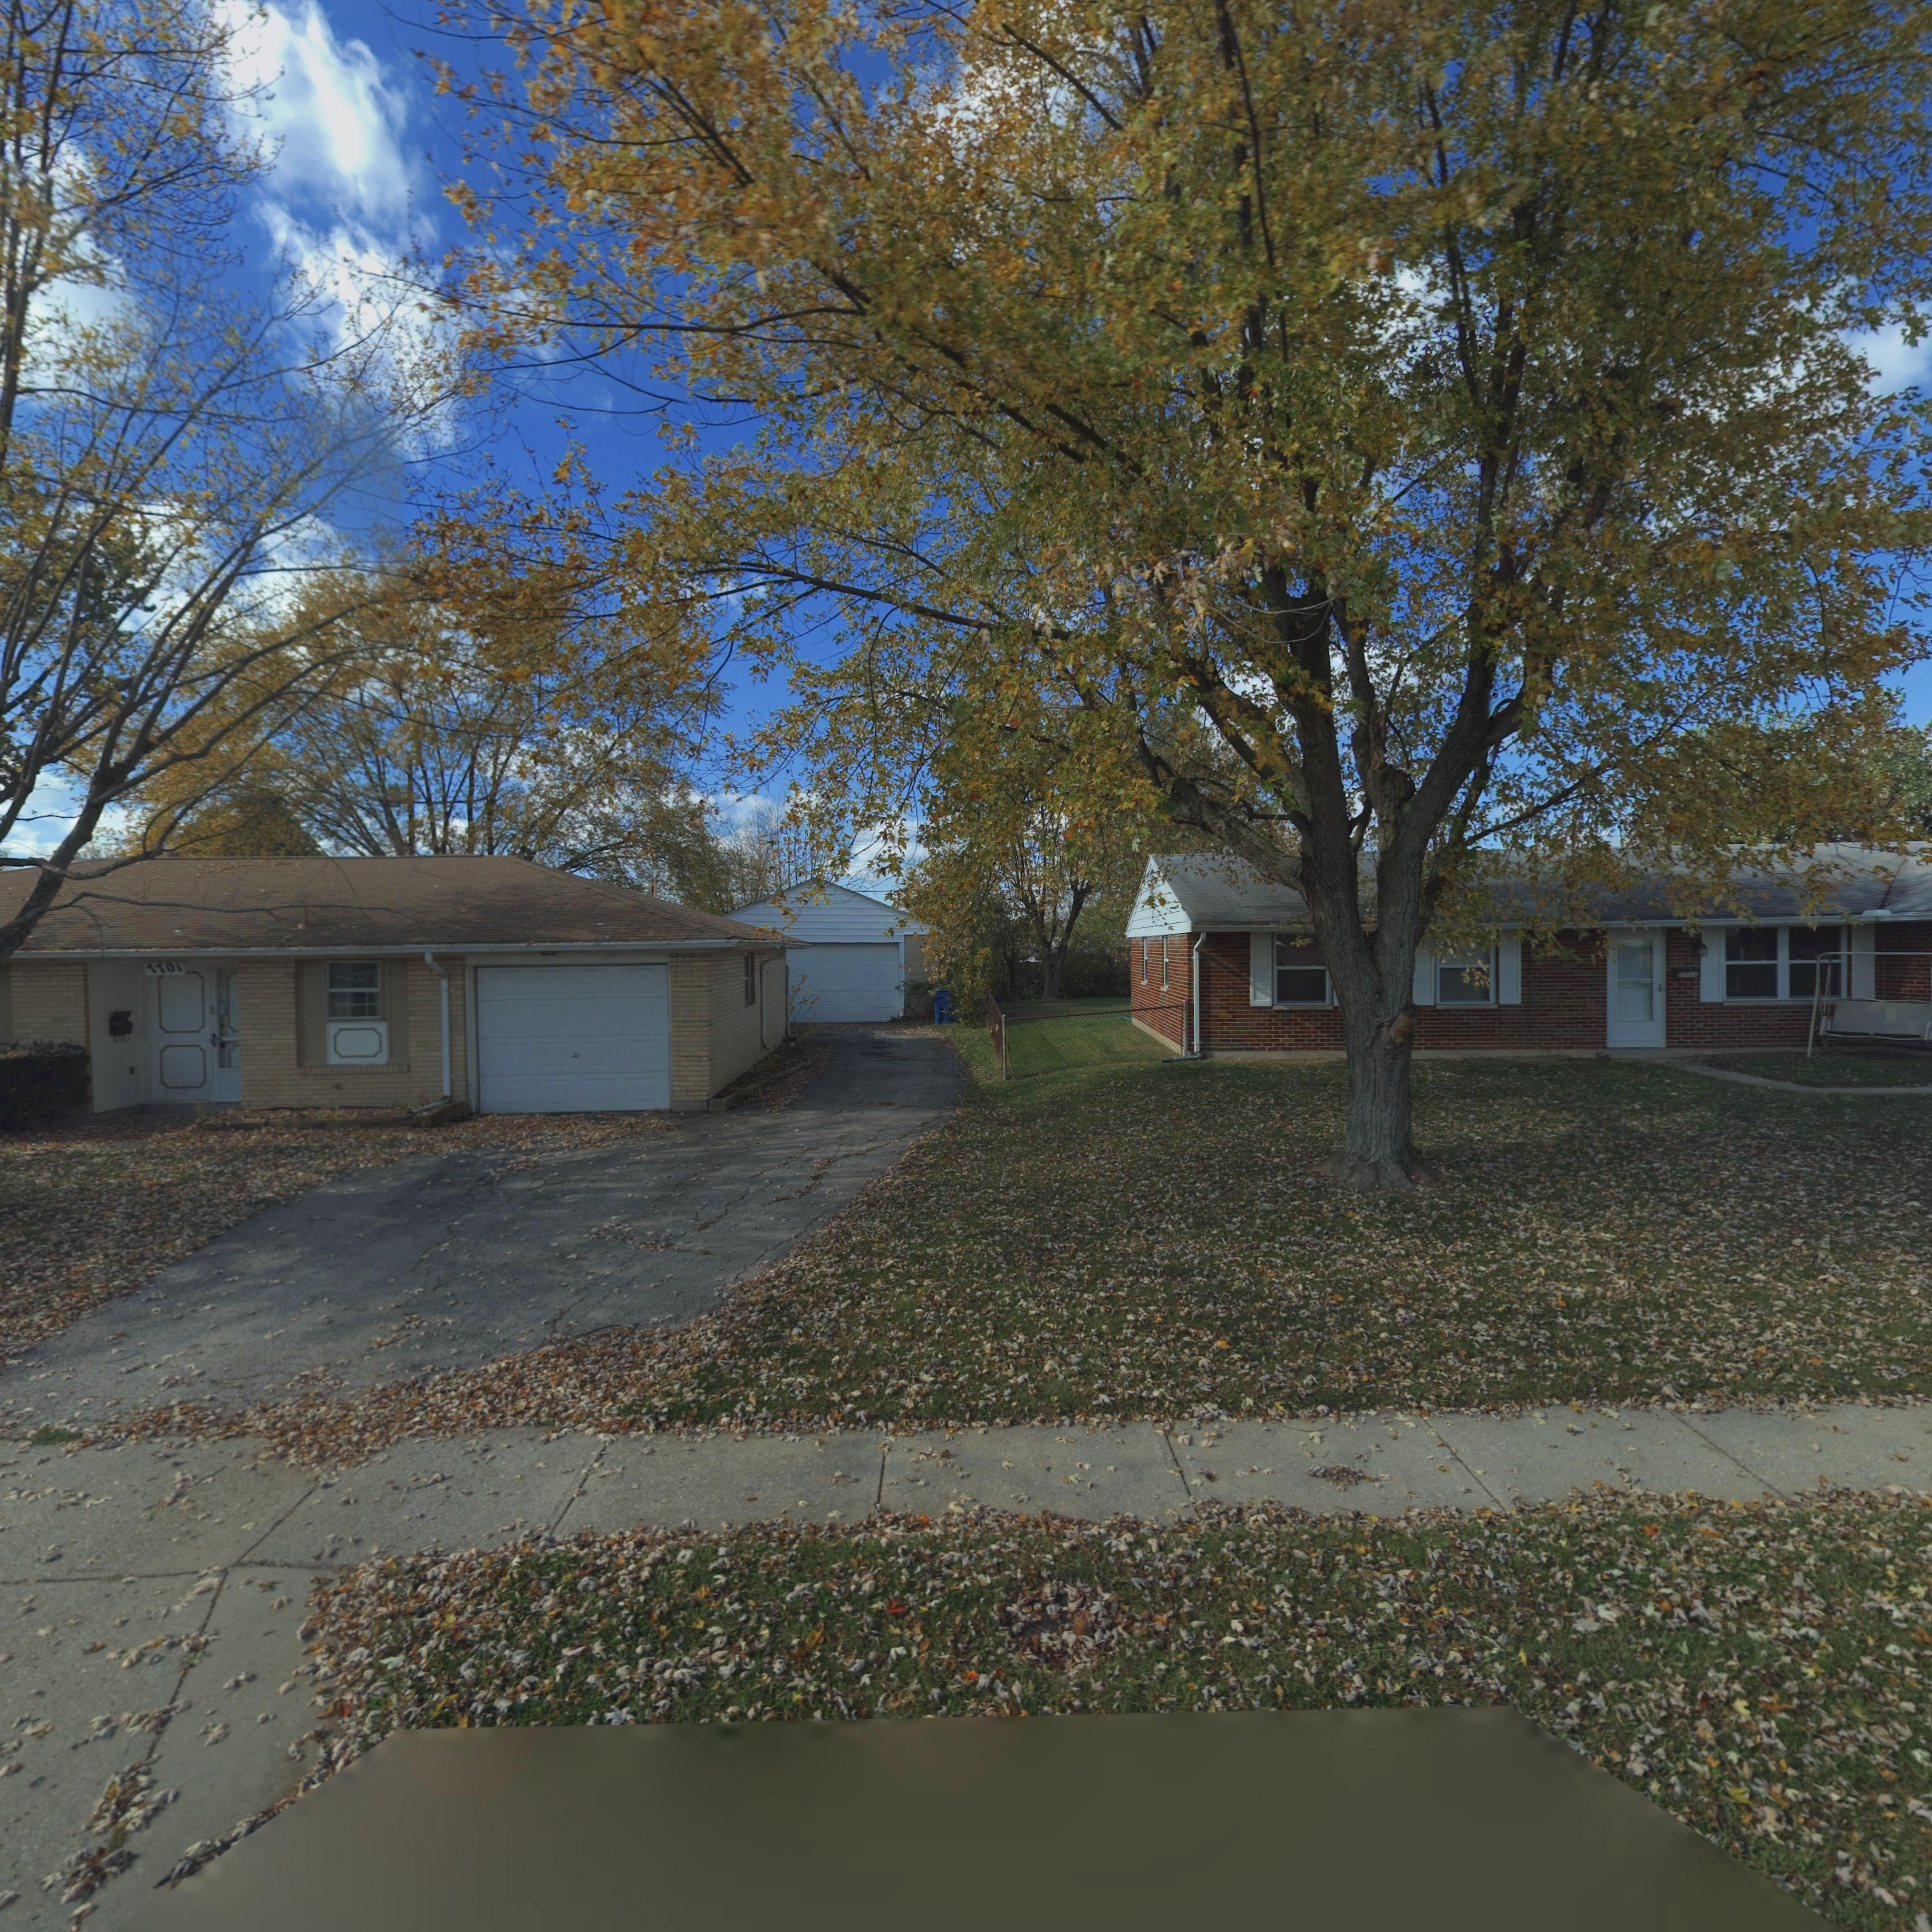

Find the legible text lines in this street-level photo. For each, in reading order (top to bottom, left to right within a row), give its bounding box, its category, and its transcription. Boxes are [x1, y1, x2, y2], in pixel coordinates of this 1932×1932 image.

[145, 962, 183, 975] StreetNumber: 7701
[1679, 971, 1697, 977] StreetNumber: 7711